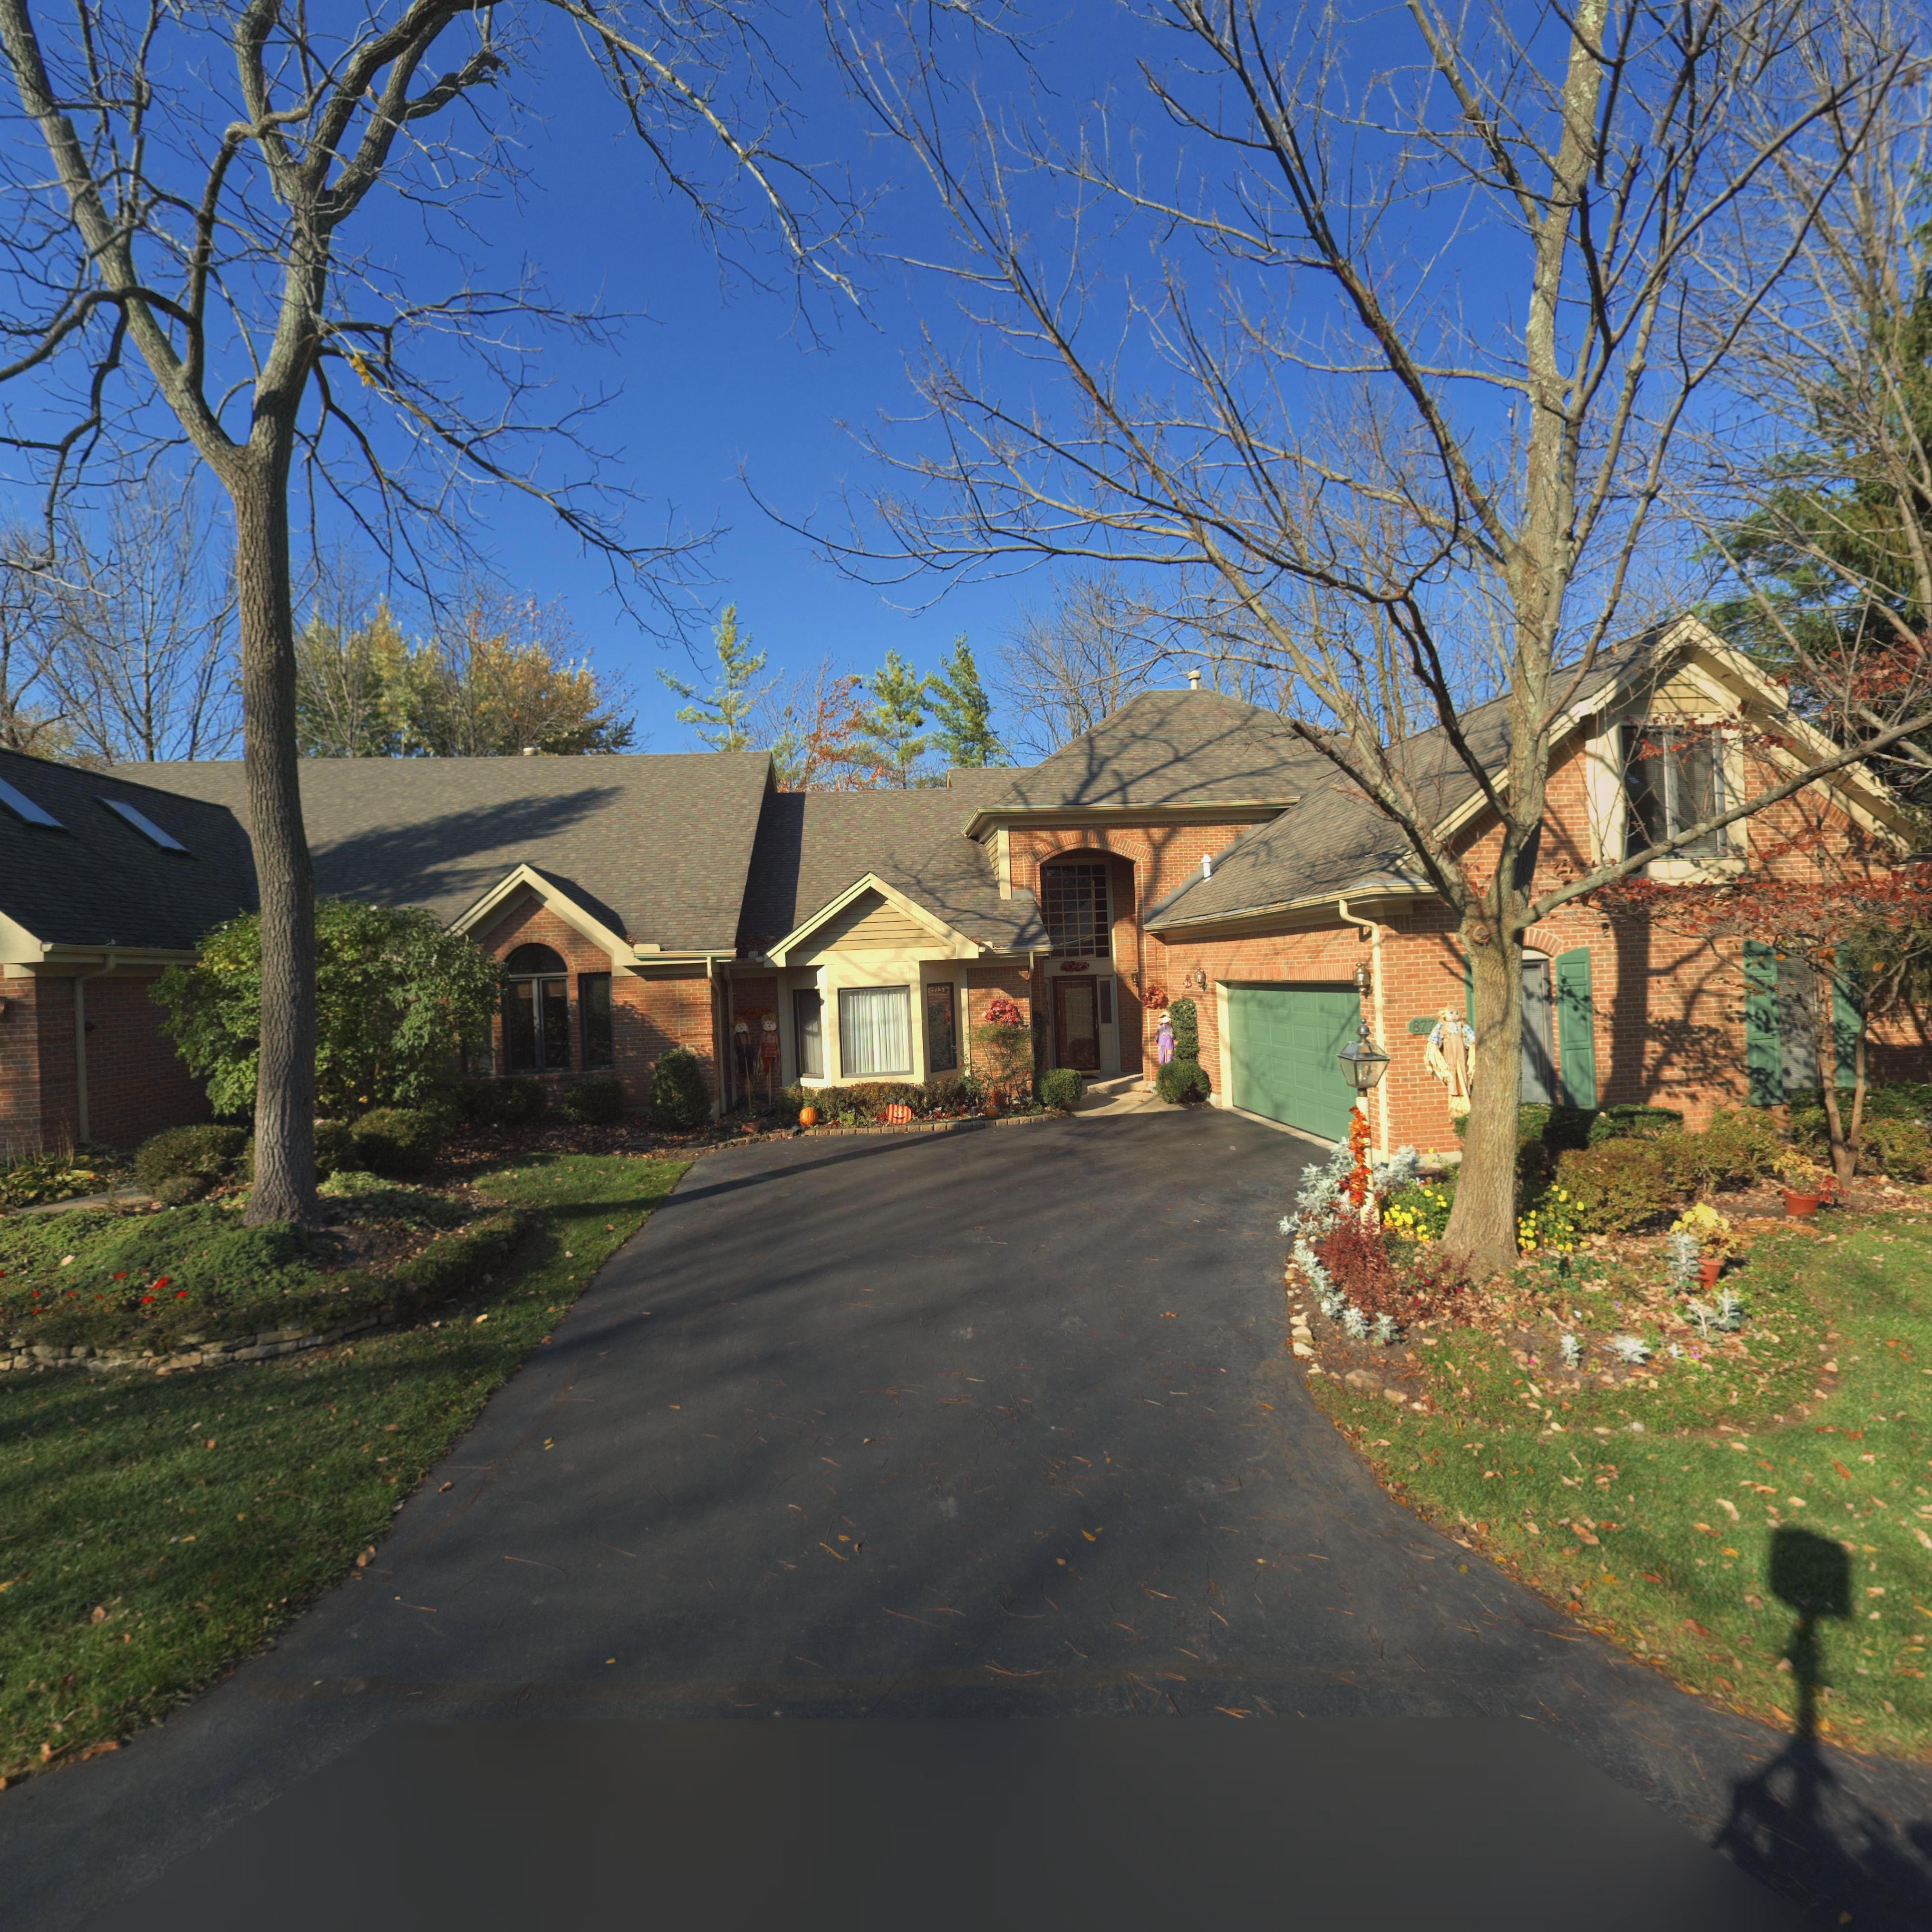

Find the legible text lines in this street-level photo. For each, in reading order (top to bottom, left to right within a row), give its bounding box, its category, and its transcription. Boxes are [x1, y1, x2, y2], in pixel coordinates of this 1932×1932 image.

[1411, 1018, 1438, 1034] StreetNumber: 877